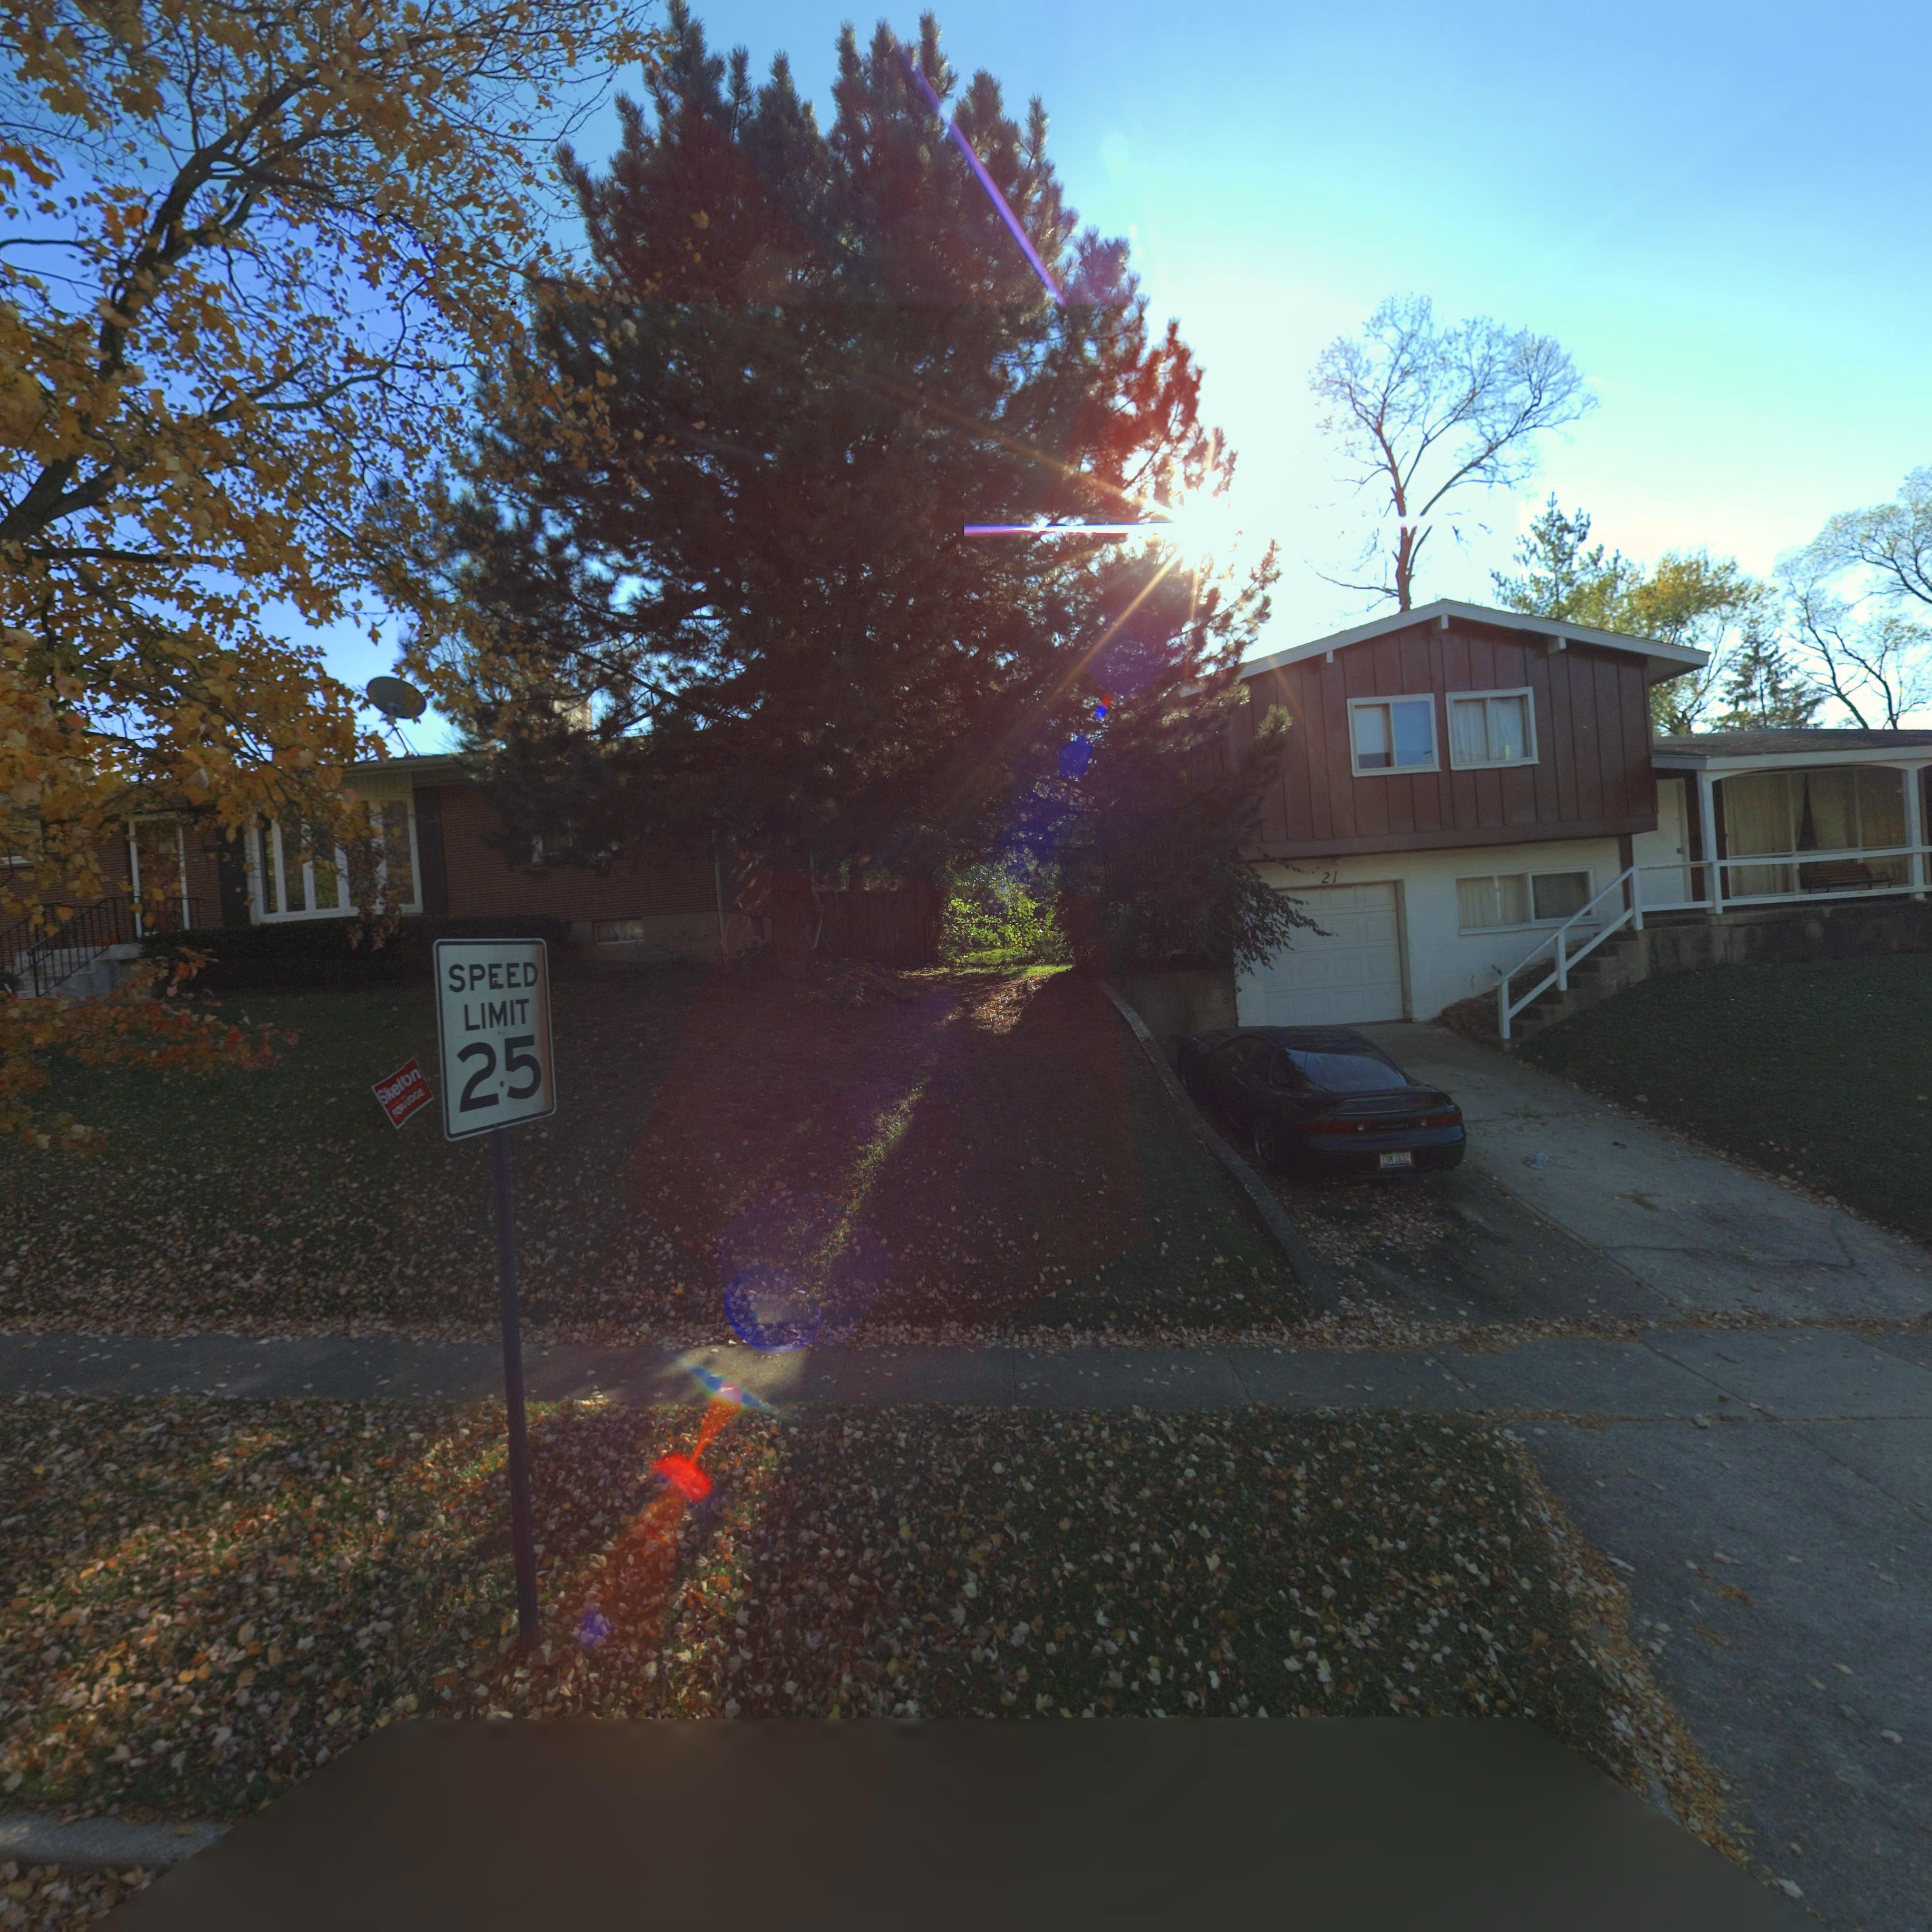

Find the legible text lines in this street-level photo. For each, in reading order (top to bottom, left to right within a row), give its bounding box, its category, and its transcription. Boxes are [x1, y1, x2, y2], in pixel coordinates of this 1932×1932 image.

[1320, 870, 1338, 885] StreetNumber: 21